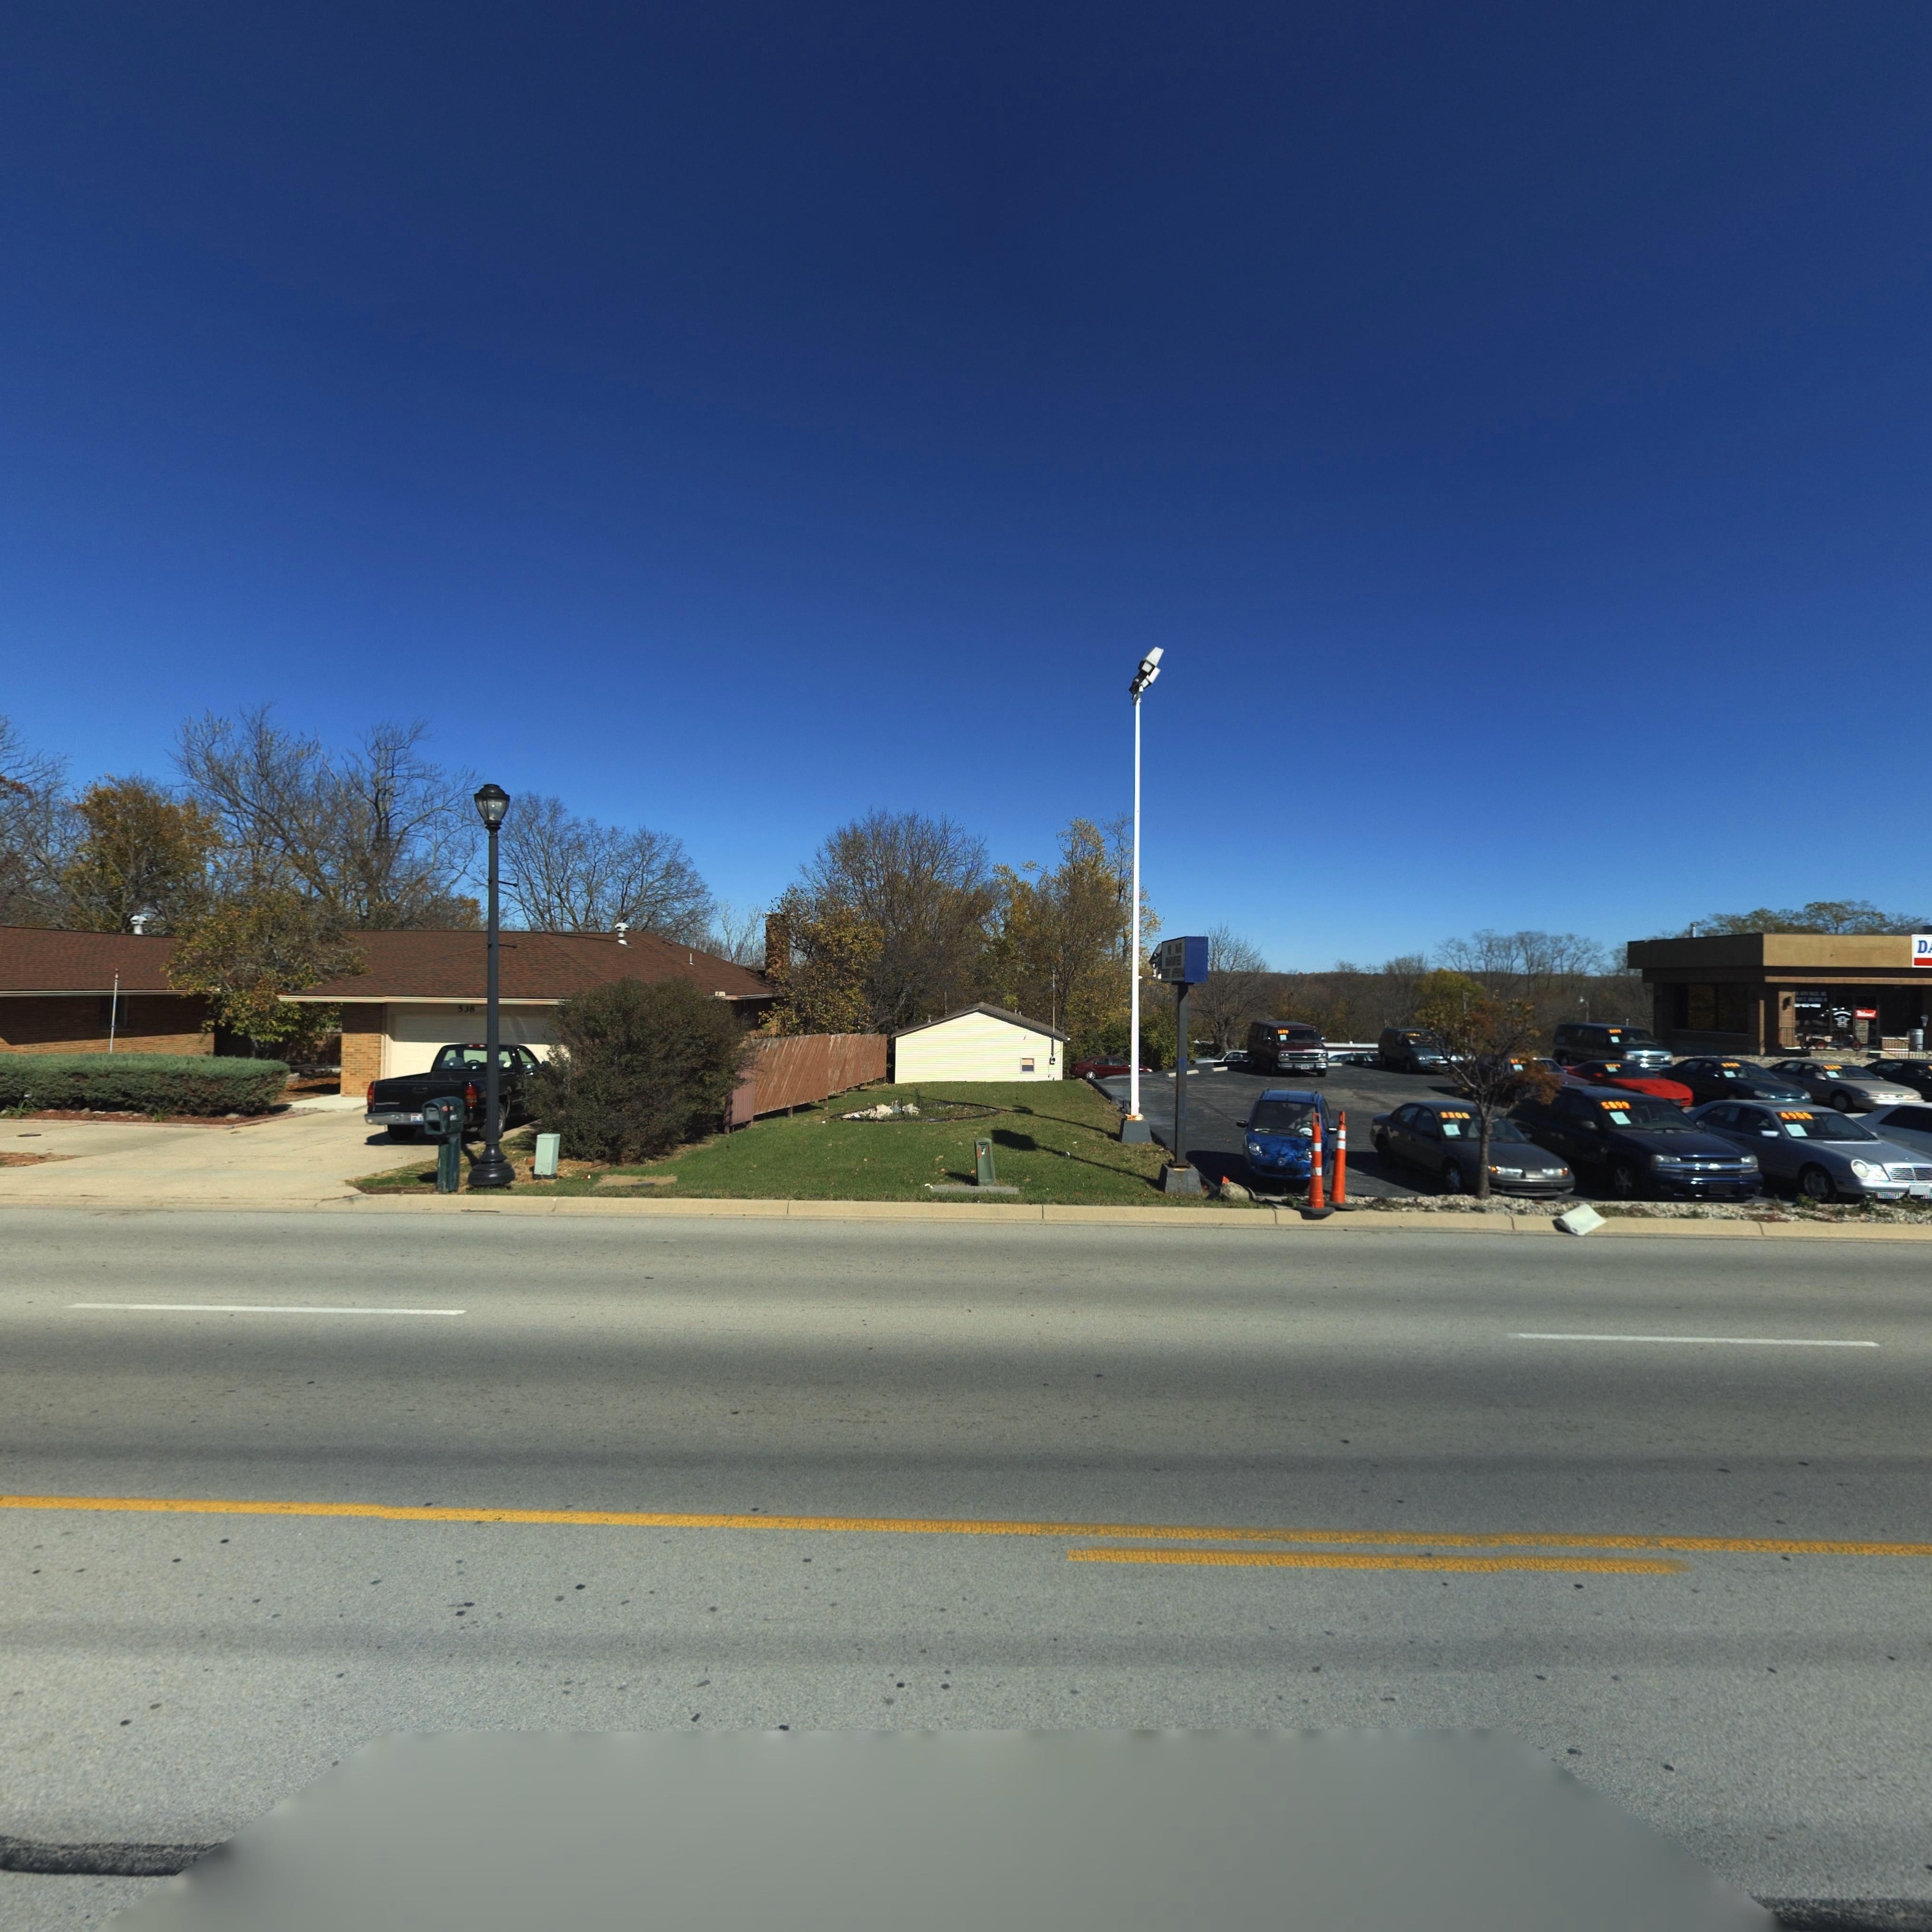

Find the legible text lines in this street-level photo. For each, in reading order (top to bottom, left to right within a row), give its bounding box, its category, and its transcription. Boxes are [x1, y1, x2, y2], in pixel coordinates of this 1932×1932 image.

[1916, 939, 1929, 954] BusinessName: D
[457, 1005, 476, 1014] StreetNumber: 538
[1600, 1101, 1633, 1110] None: 5899
[1439, 1111, 1472, 1120] None: 3300
[1778, 1111, 1816, 1120] None: 4900